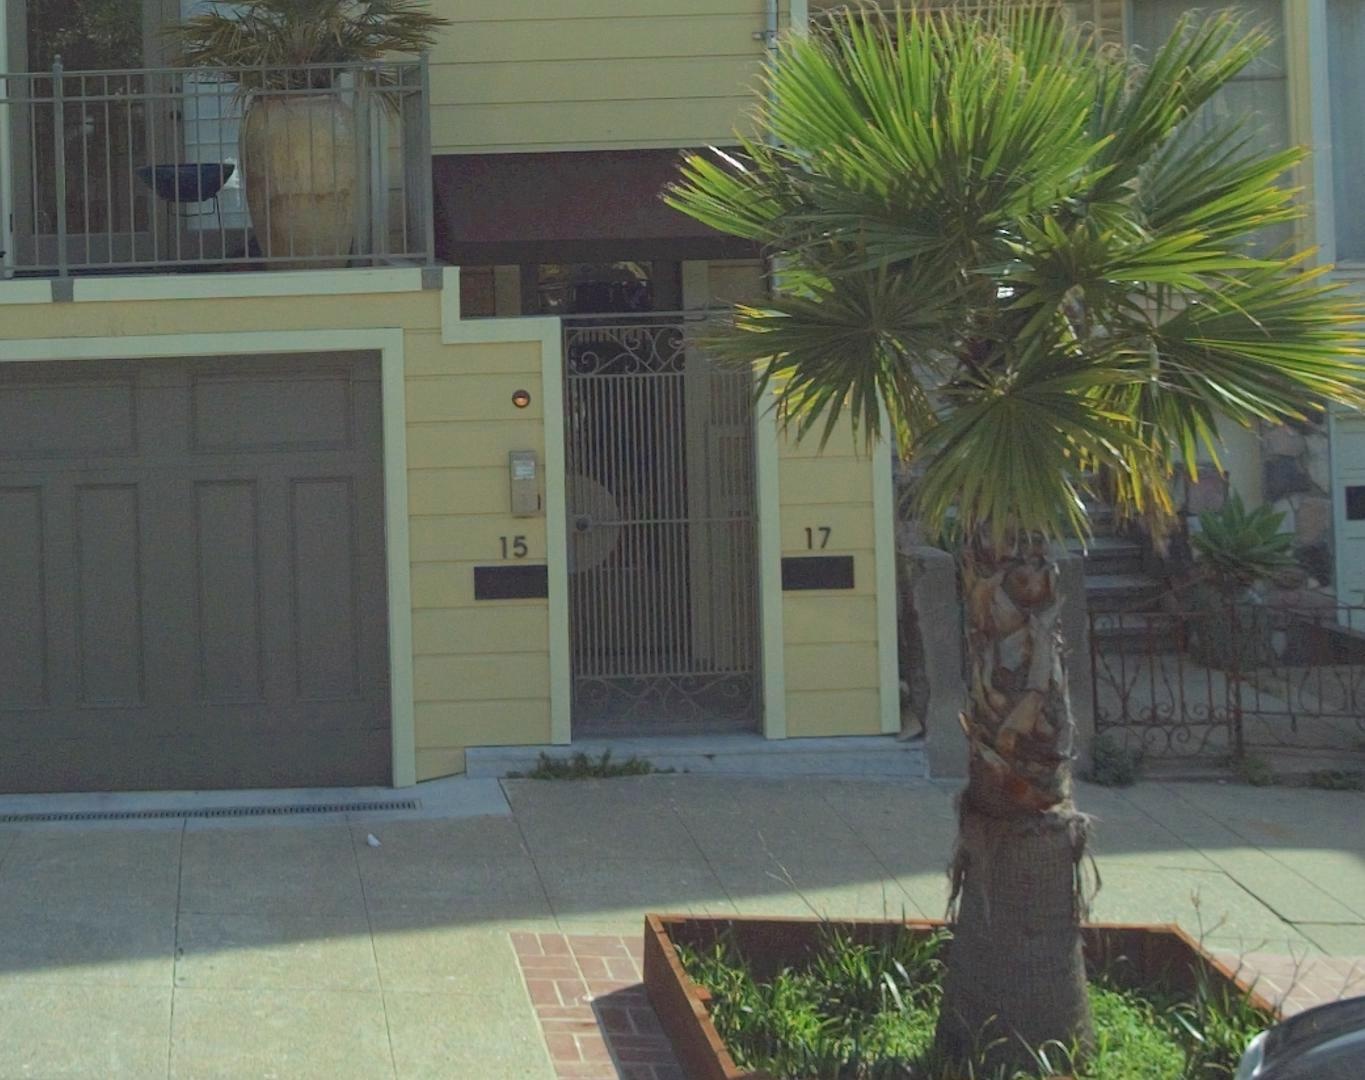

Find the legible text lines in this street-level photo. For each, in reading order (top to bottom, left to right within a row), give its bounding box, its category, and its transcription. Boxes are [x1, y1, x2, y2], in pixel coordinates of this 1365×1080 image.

[500, 533, 529, 561] StreetNumber: 15
[803, 524, 832, 551] StreetNumber: 17